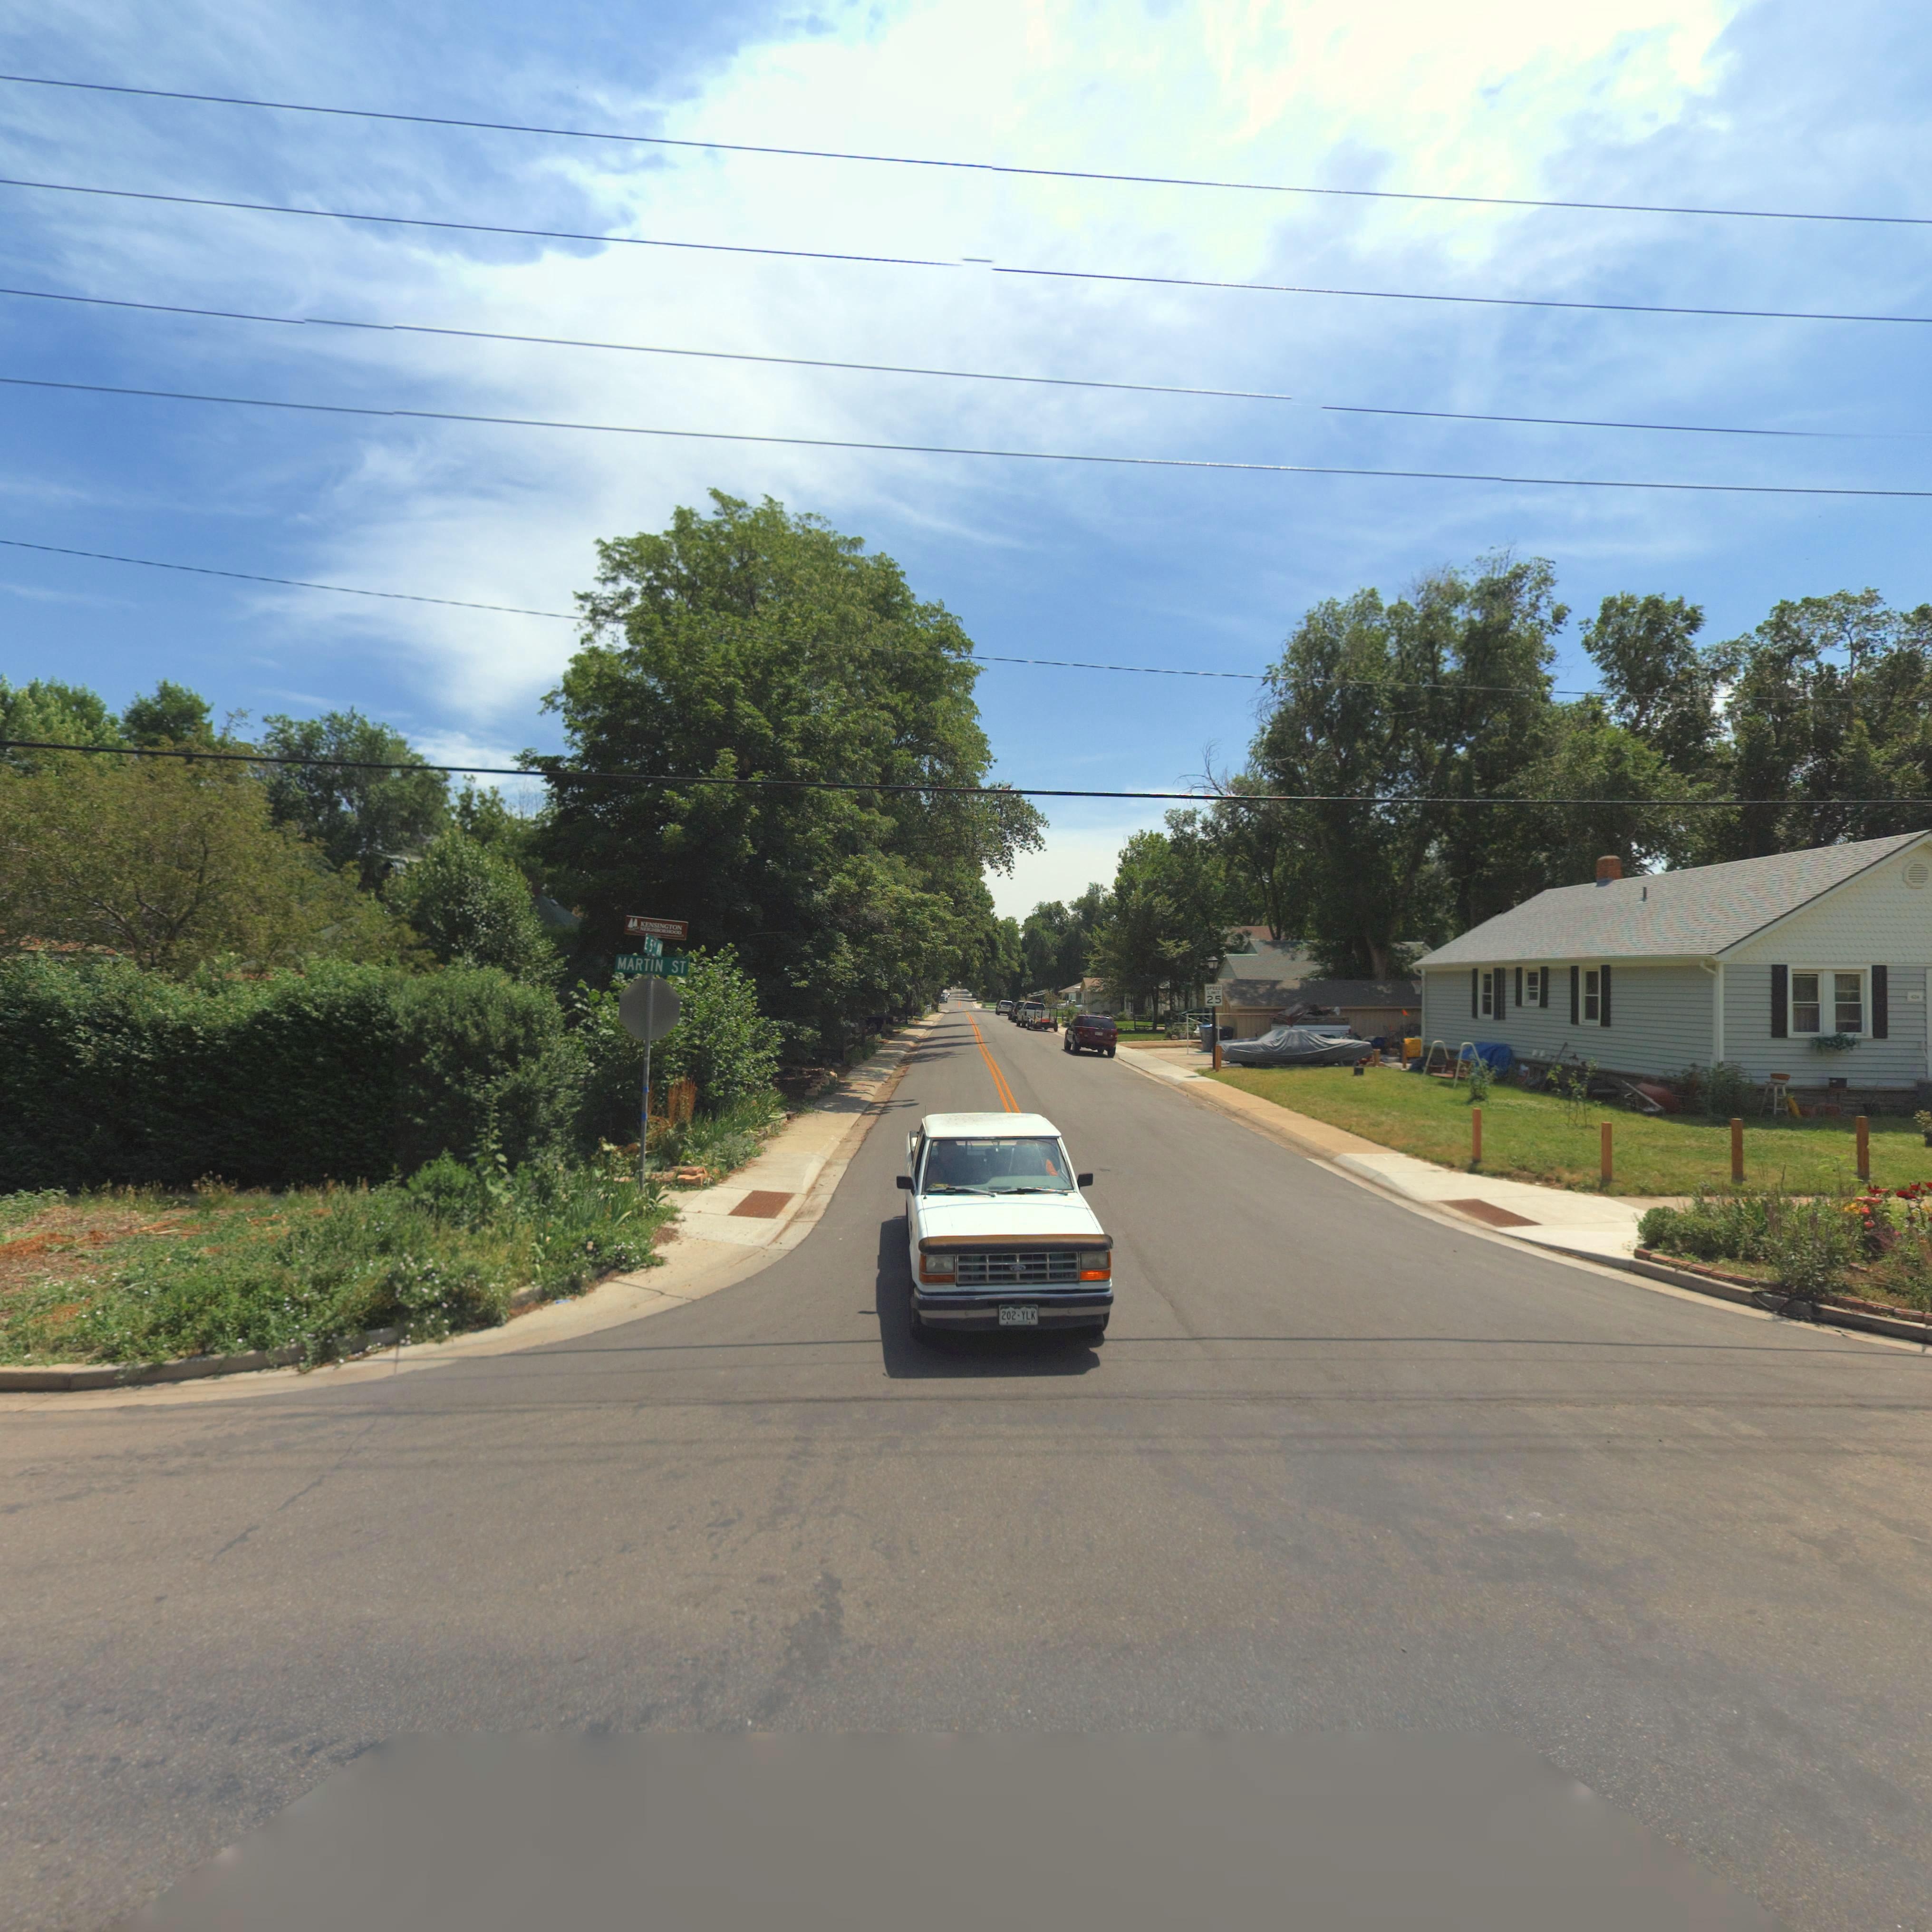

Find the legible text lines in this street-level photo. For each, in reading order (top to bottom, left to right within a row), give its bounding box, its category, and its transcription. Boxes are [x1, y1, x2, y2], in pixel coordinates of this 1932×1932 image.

[643, 936, 663, 956] StreetName: E 5** AV
[616, 956, 686, 974] StreetName: MARTIN ST